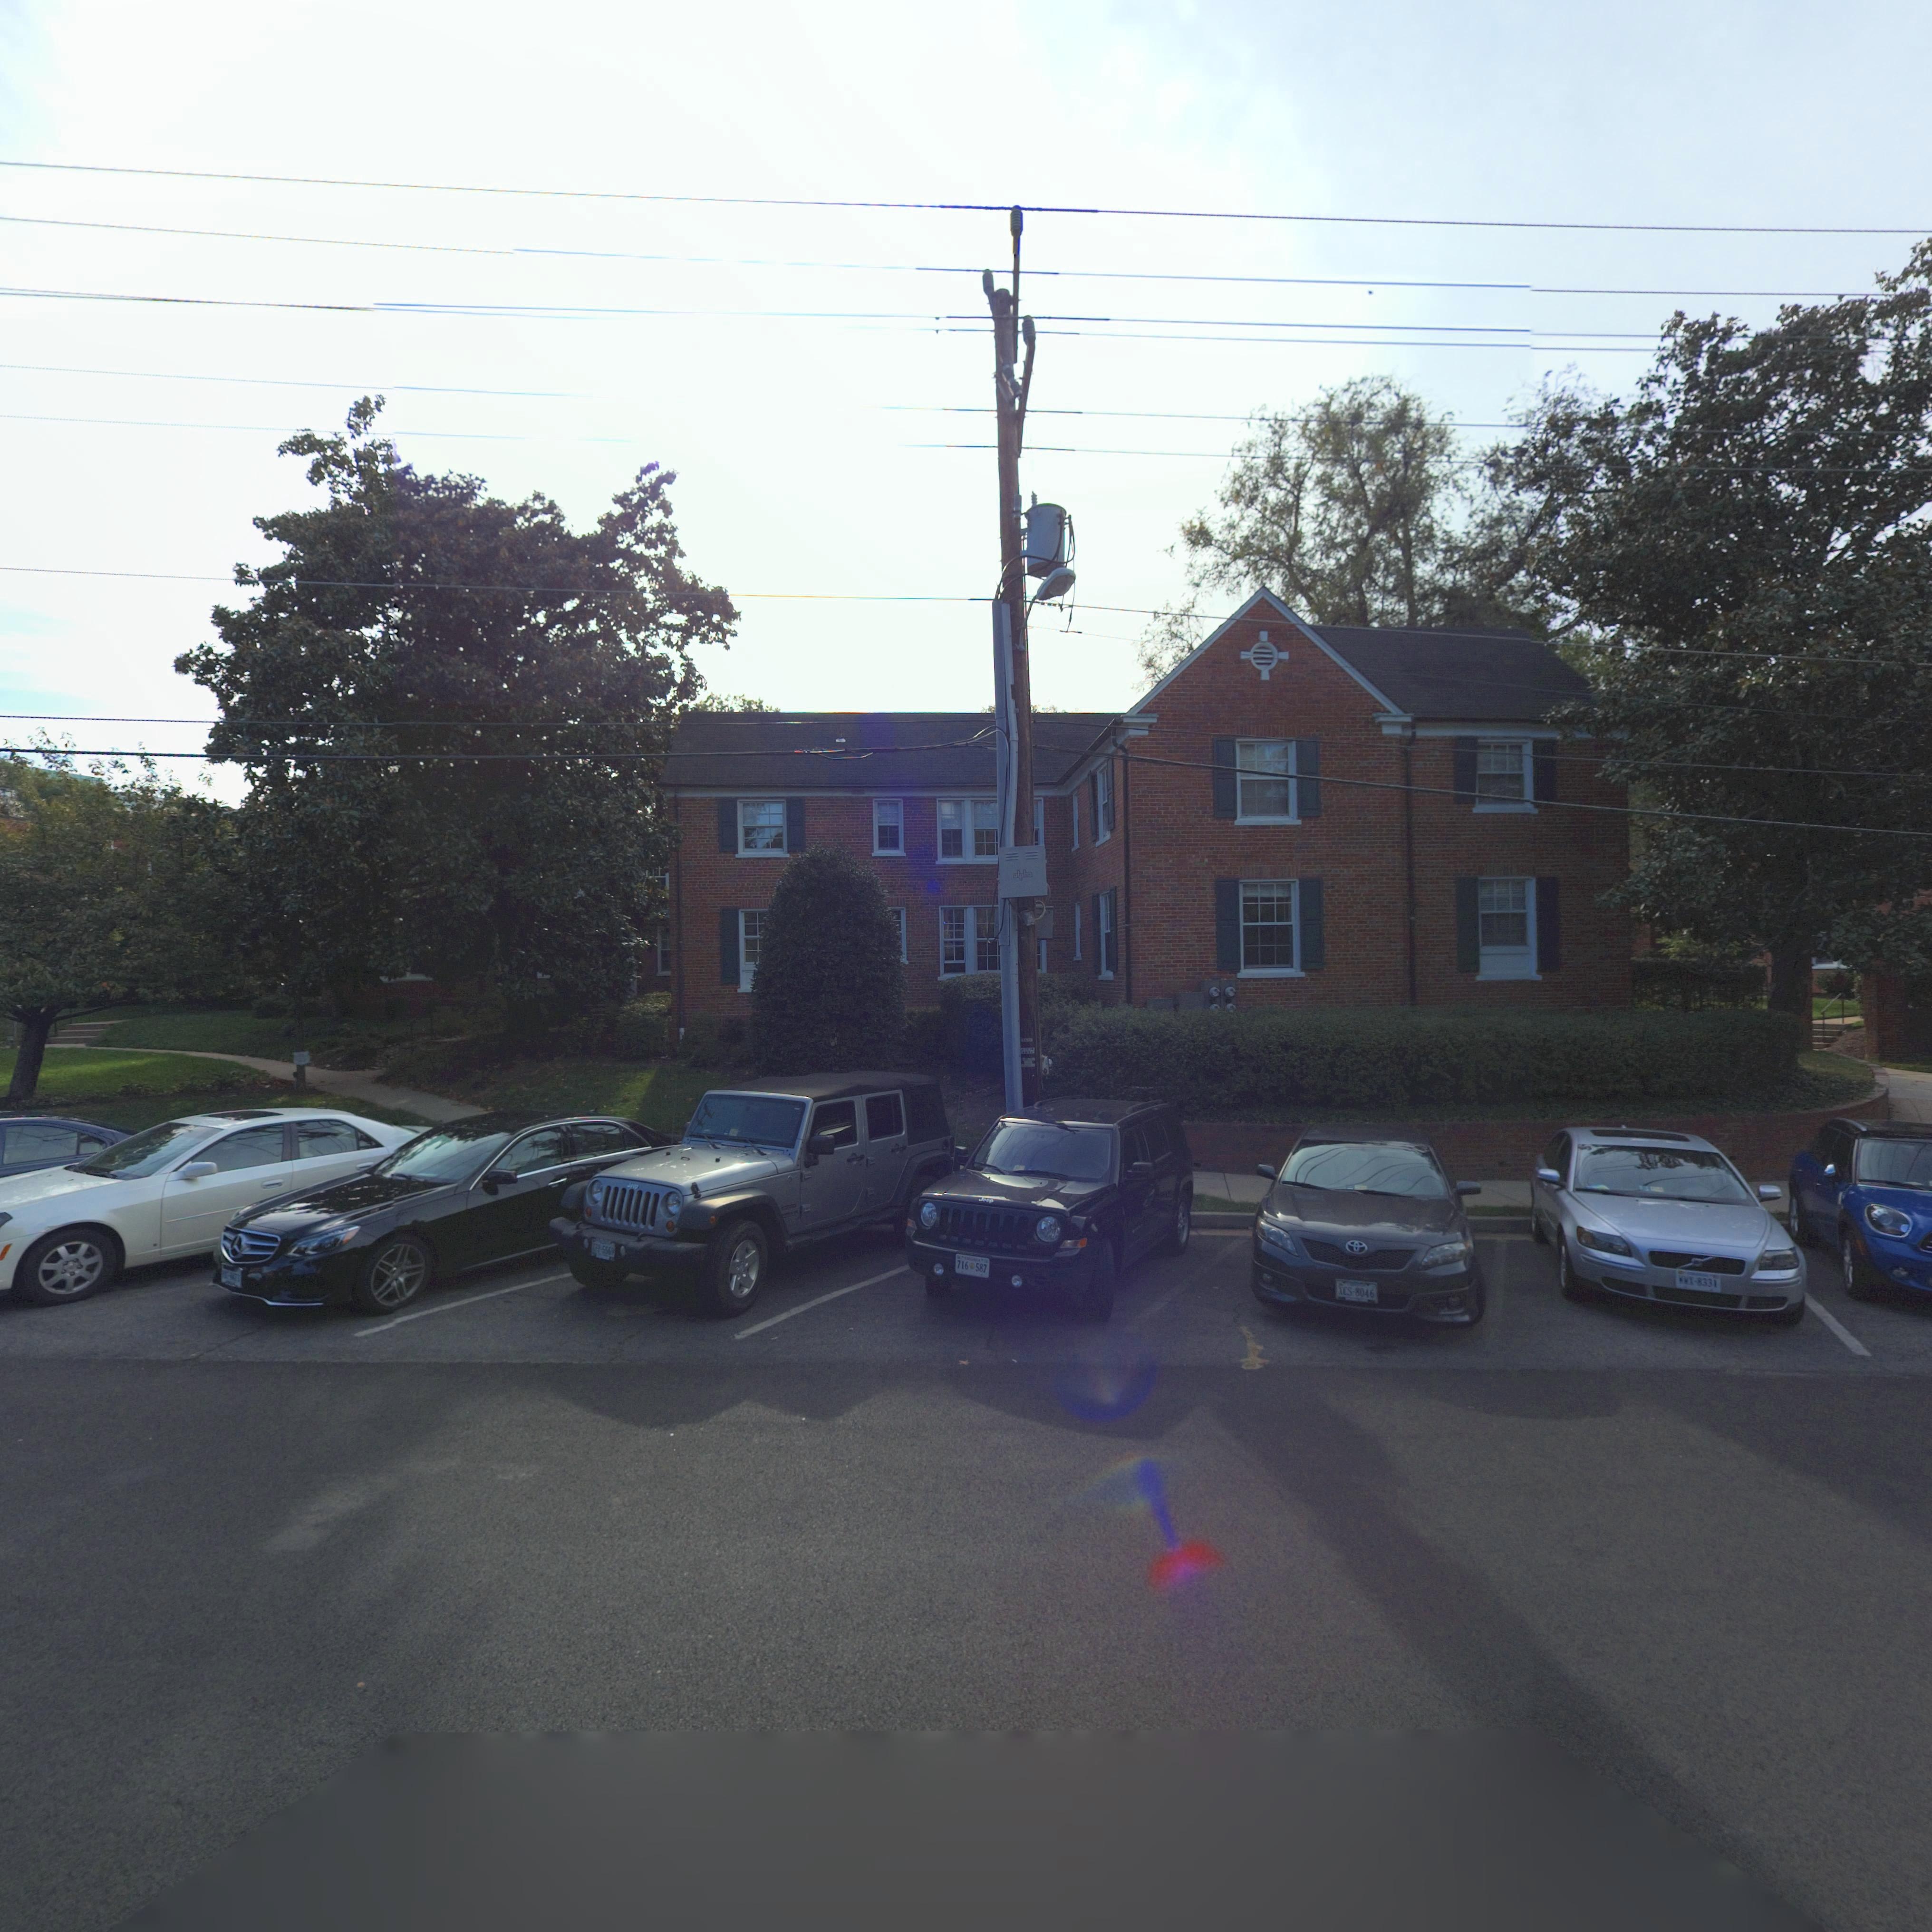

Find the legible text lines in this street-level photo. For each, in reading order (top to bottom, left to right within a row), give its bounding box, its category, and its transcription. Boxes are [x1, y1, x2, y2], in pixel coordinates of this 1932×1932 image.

[1013, 869, 1033, 881] None: alpha
[626, 1182, 639, 1191] None: Je*p
[978, 1197, 995, 1204] None: Jeep
[601, 1245, 615, 1256] None: 5569
[956, 1259, 987, 1274] None: 716*587
[1678, 1275, 1717, 1289] None: **X*8331
[1338, 1285, 1375, 1298] None: XCS*8046